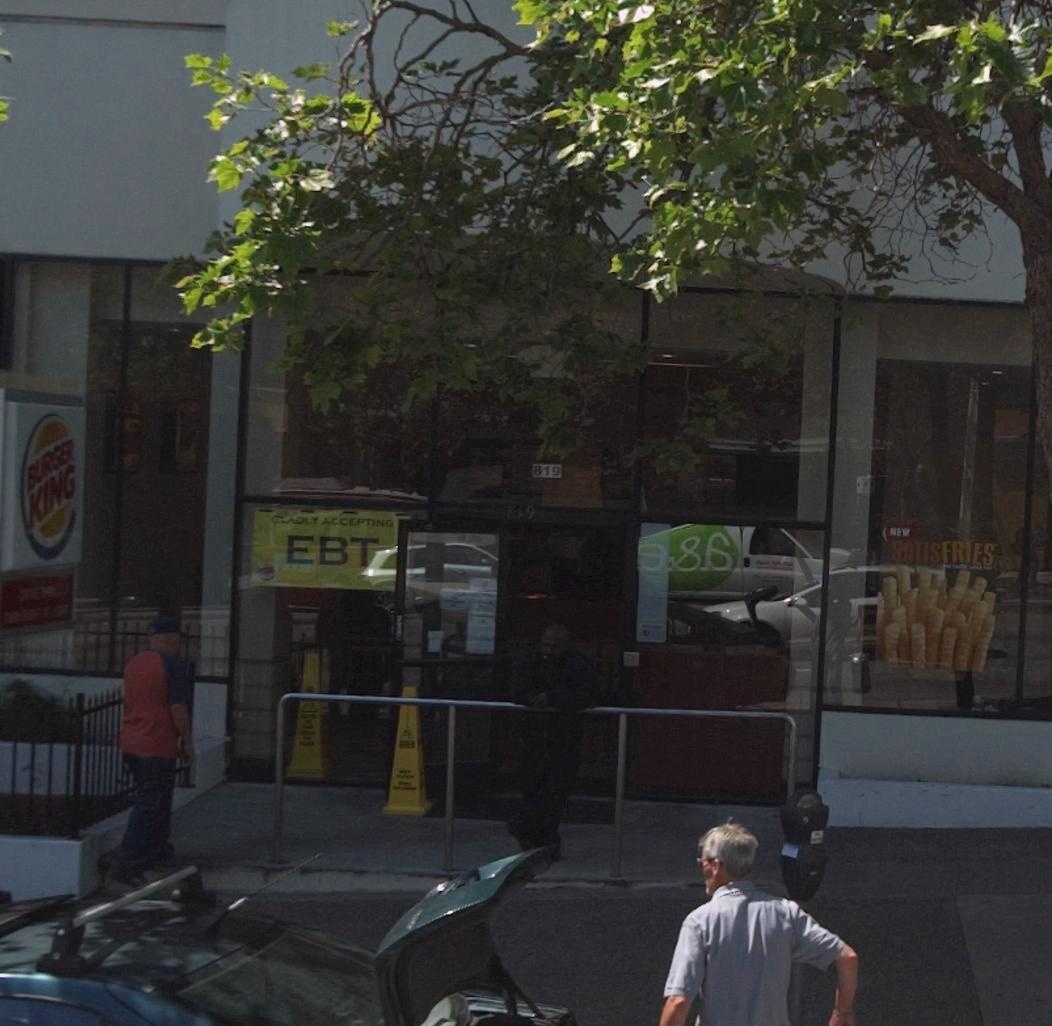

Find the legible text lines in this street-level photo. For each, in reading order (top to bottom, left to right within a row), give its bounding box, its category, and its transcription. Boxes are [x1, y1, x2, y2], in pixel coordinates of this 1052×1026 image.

[24, 436, 75, 498] BusinessName: BURGER
[532, 464, 560, 478] StreetNumber: 819
[26, 461, 78, 533] BusinessName: KING
[270, 512, 395, 530] None: GLADLY ACCEPTING
[503, 503, 536, 522] StreetNumber: 819
[889, 525, 912, 538] None: NEW
[285, 532, 380, 569] None: EBT
[891, 537, 996, 568] None: SATISFRIES